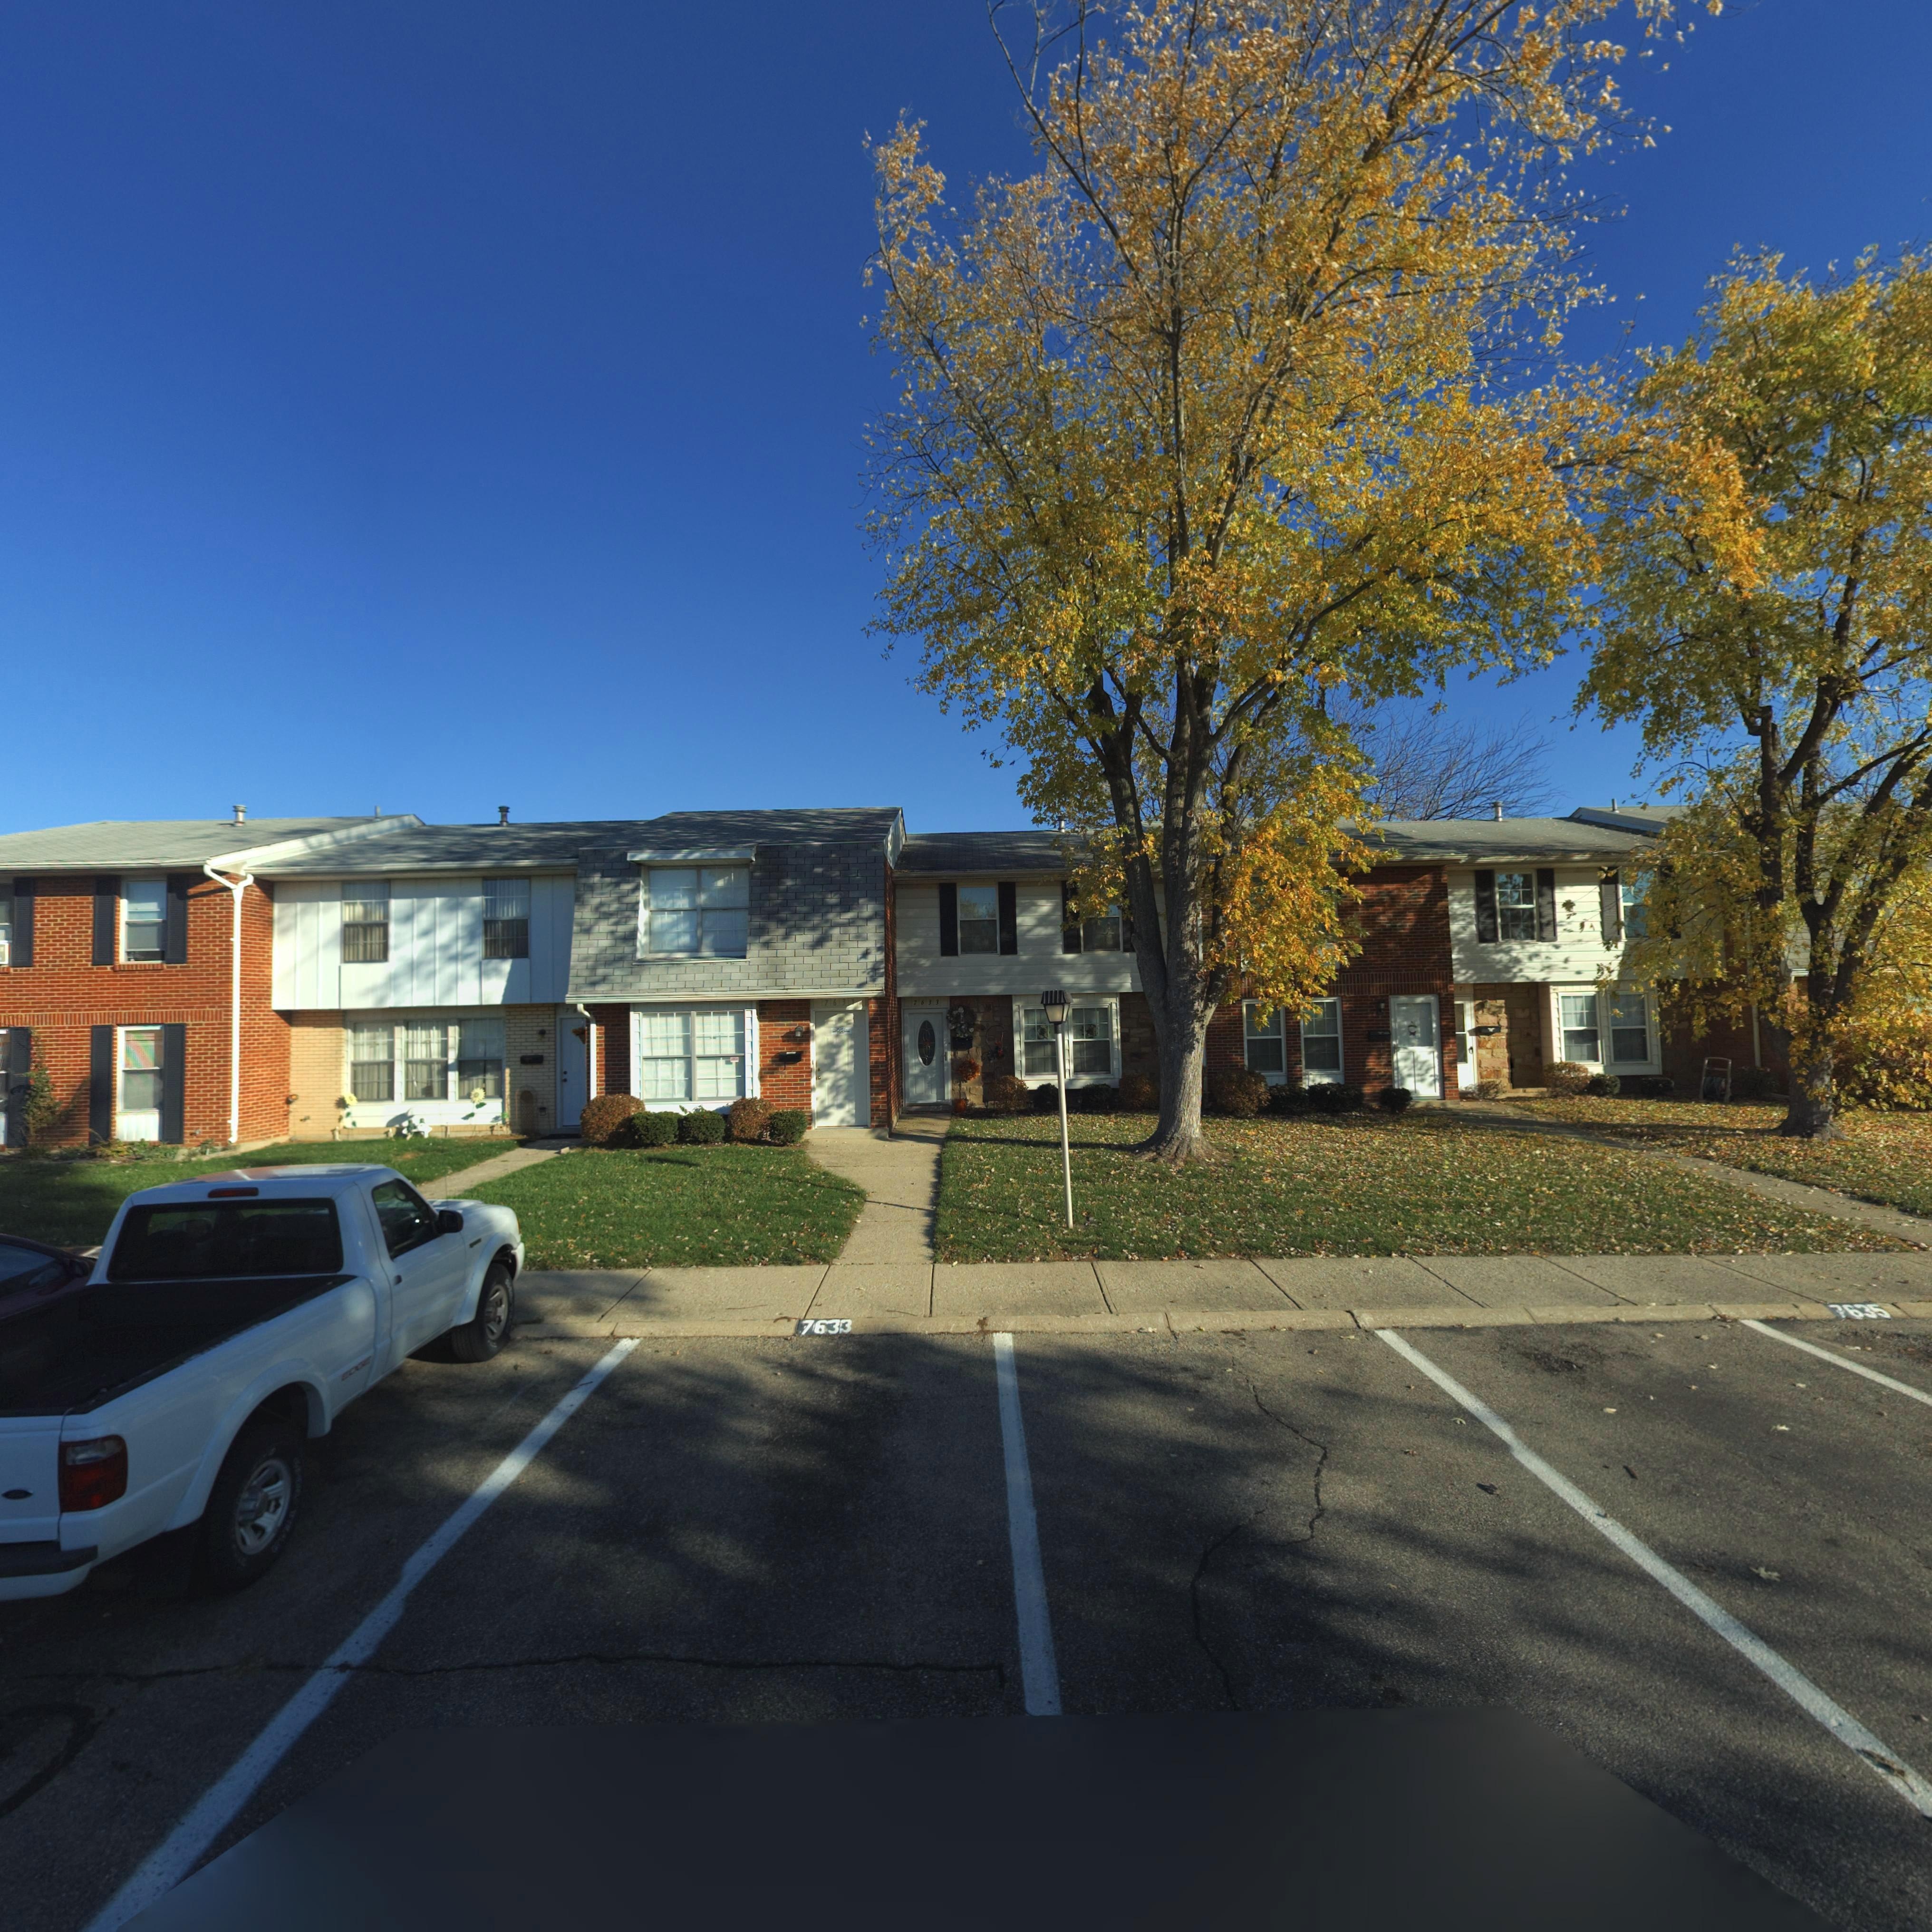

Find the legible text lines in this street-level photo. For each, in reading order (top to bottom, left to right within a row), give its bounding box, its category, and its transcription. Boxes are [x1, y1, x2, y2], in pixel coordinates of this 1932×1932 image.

[1459, 985, 1463, 991] StreetNumber: 7
[824, 998, 855, 1007] StreetNumber: 7631
[913, 999, 939, 1006] StreetNumber: 7633
[565, 1007, 578, 1013] StreetNumber: 76
[800, 1318, 853, 1335] StreetNumber: 7633